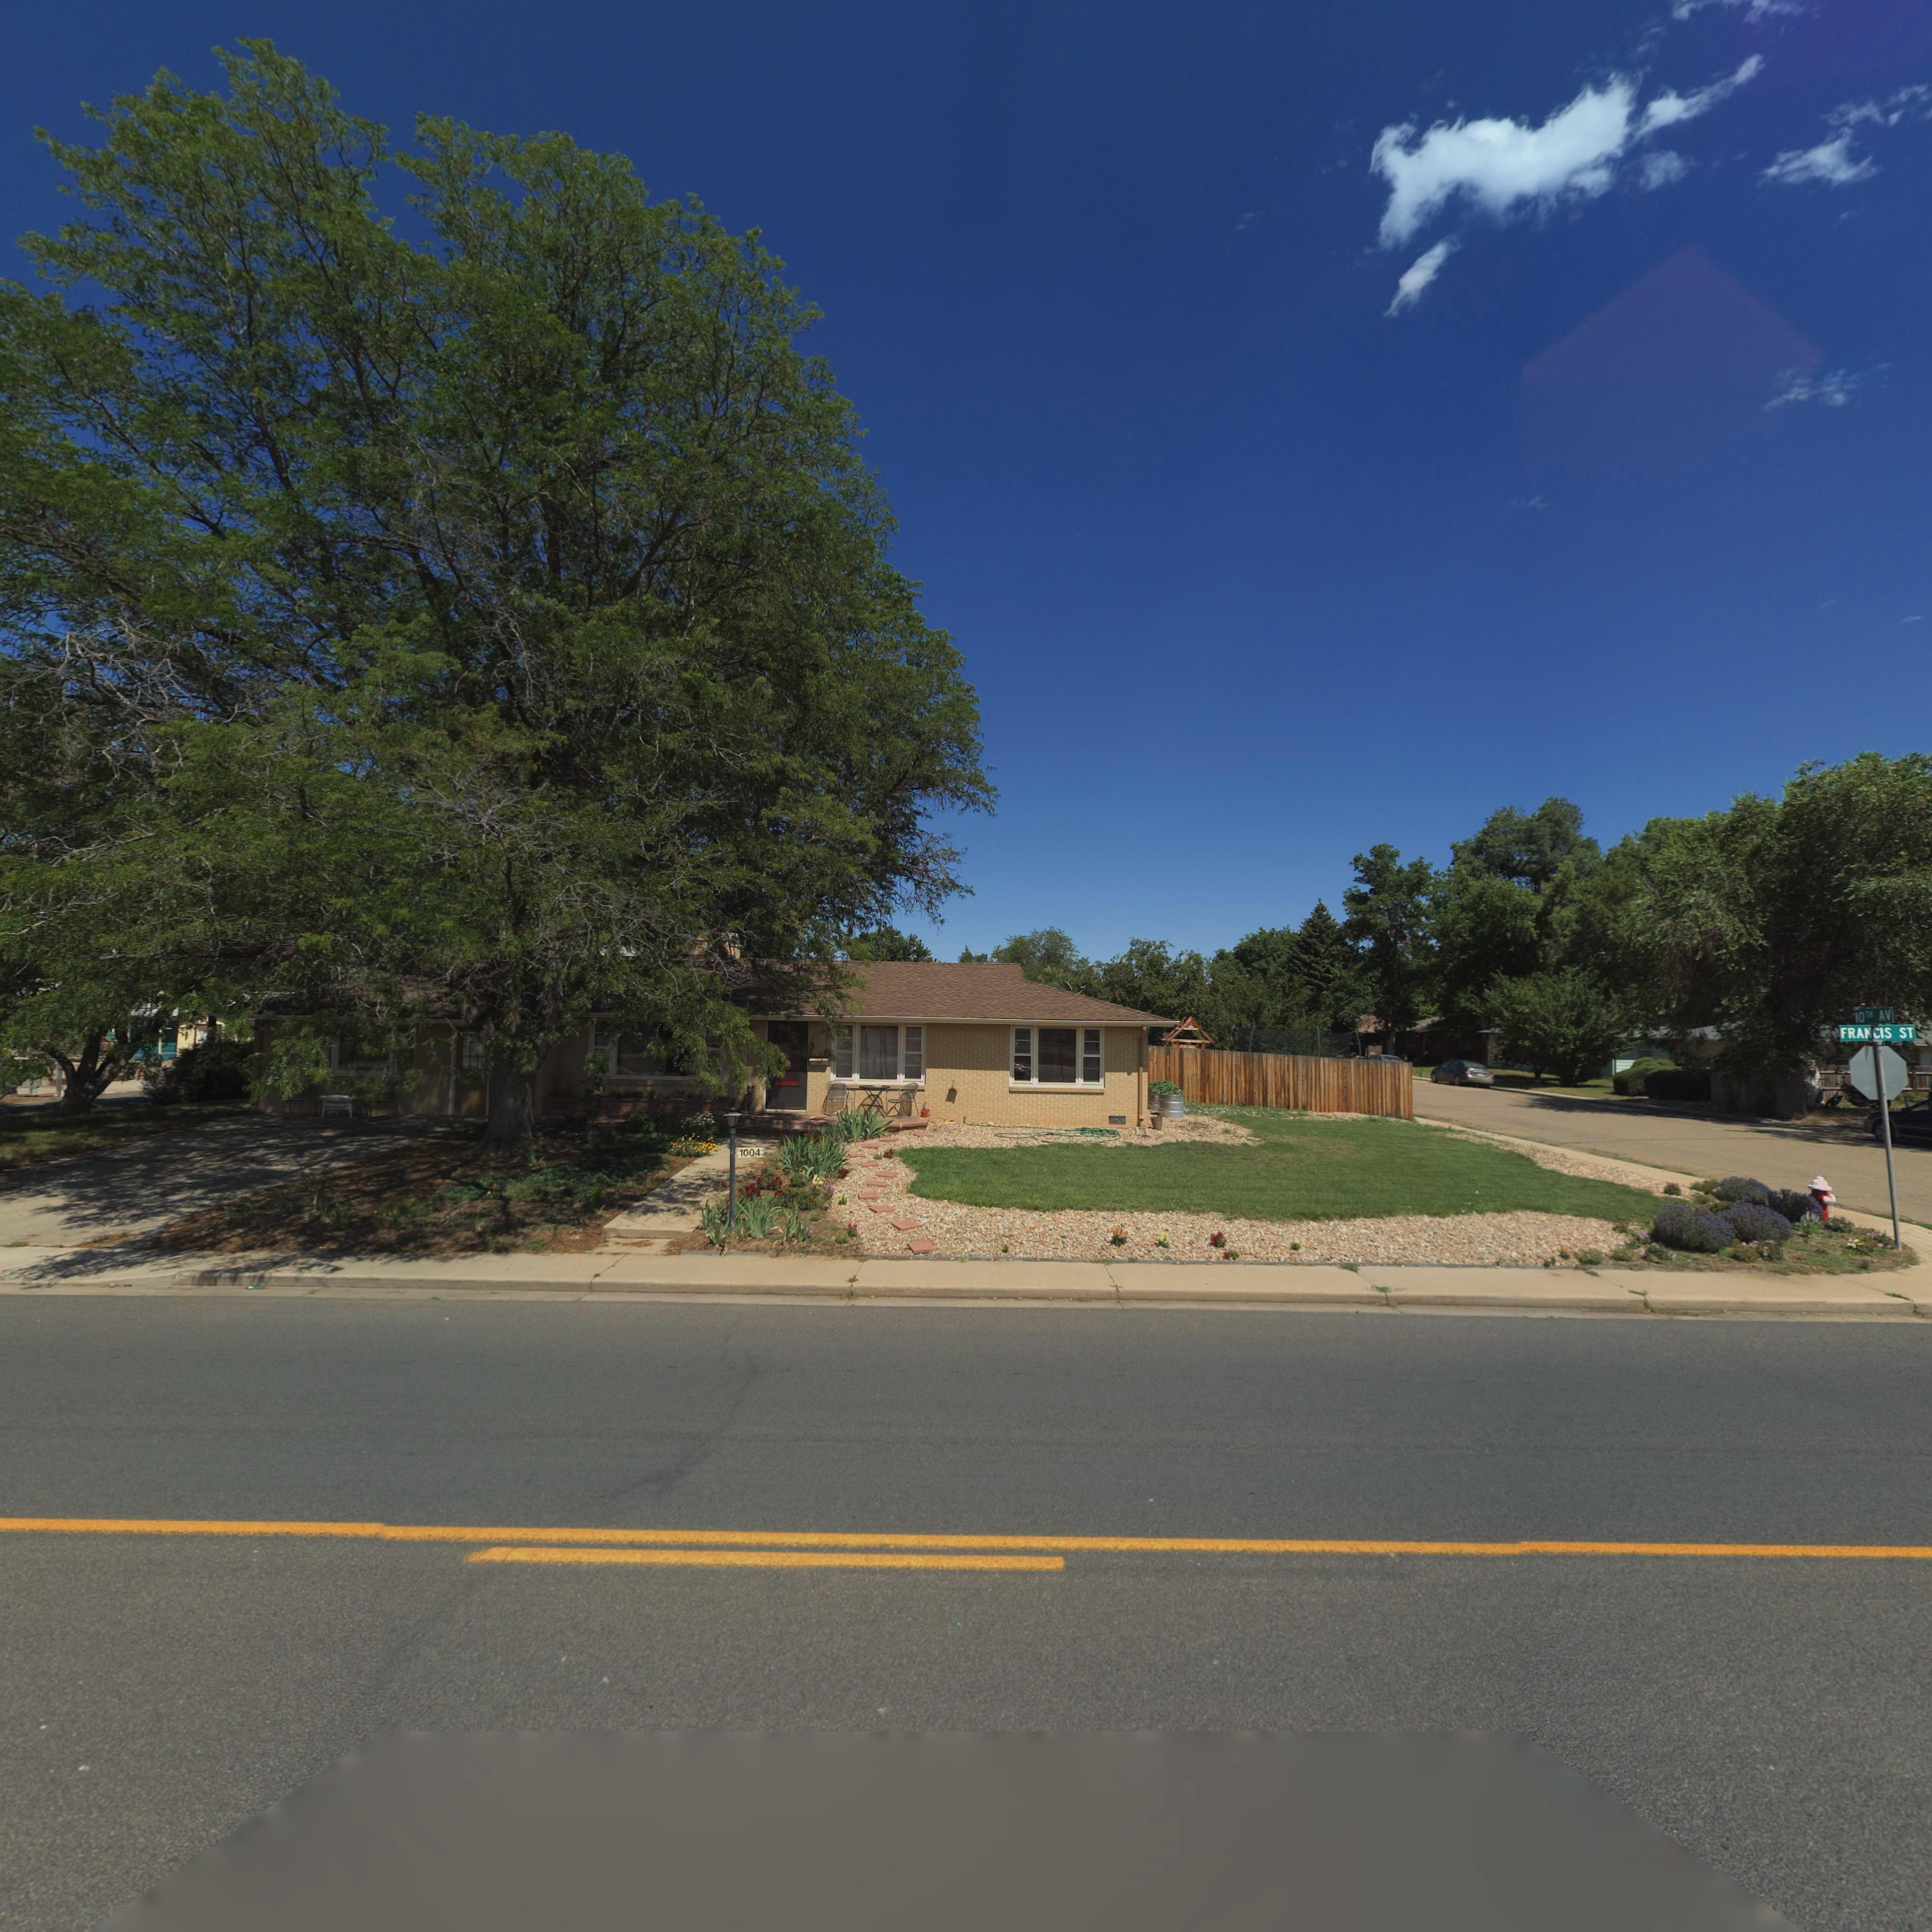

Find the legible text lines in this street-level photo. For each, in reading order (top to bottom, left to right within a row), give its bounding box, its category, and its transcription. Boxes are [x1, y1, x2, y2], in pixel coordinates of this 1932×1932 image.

[1854, 1009, 1891, 1024] StreetName: 10TH AV 
[1840, 1026, 1914, 1039] StreetName: FRANCIS ST
[740, 1148, 760, 1157] StreetNumber: 1004